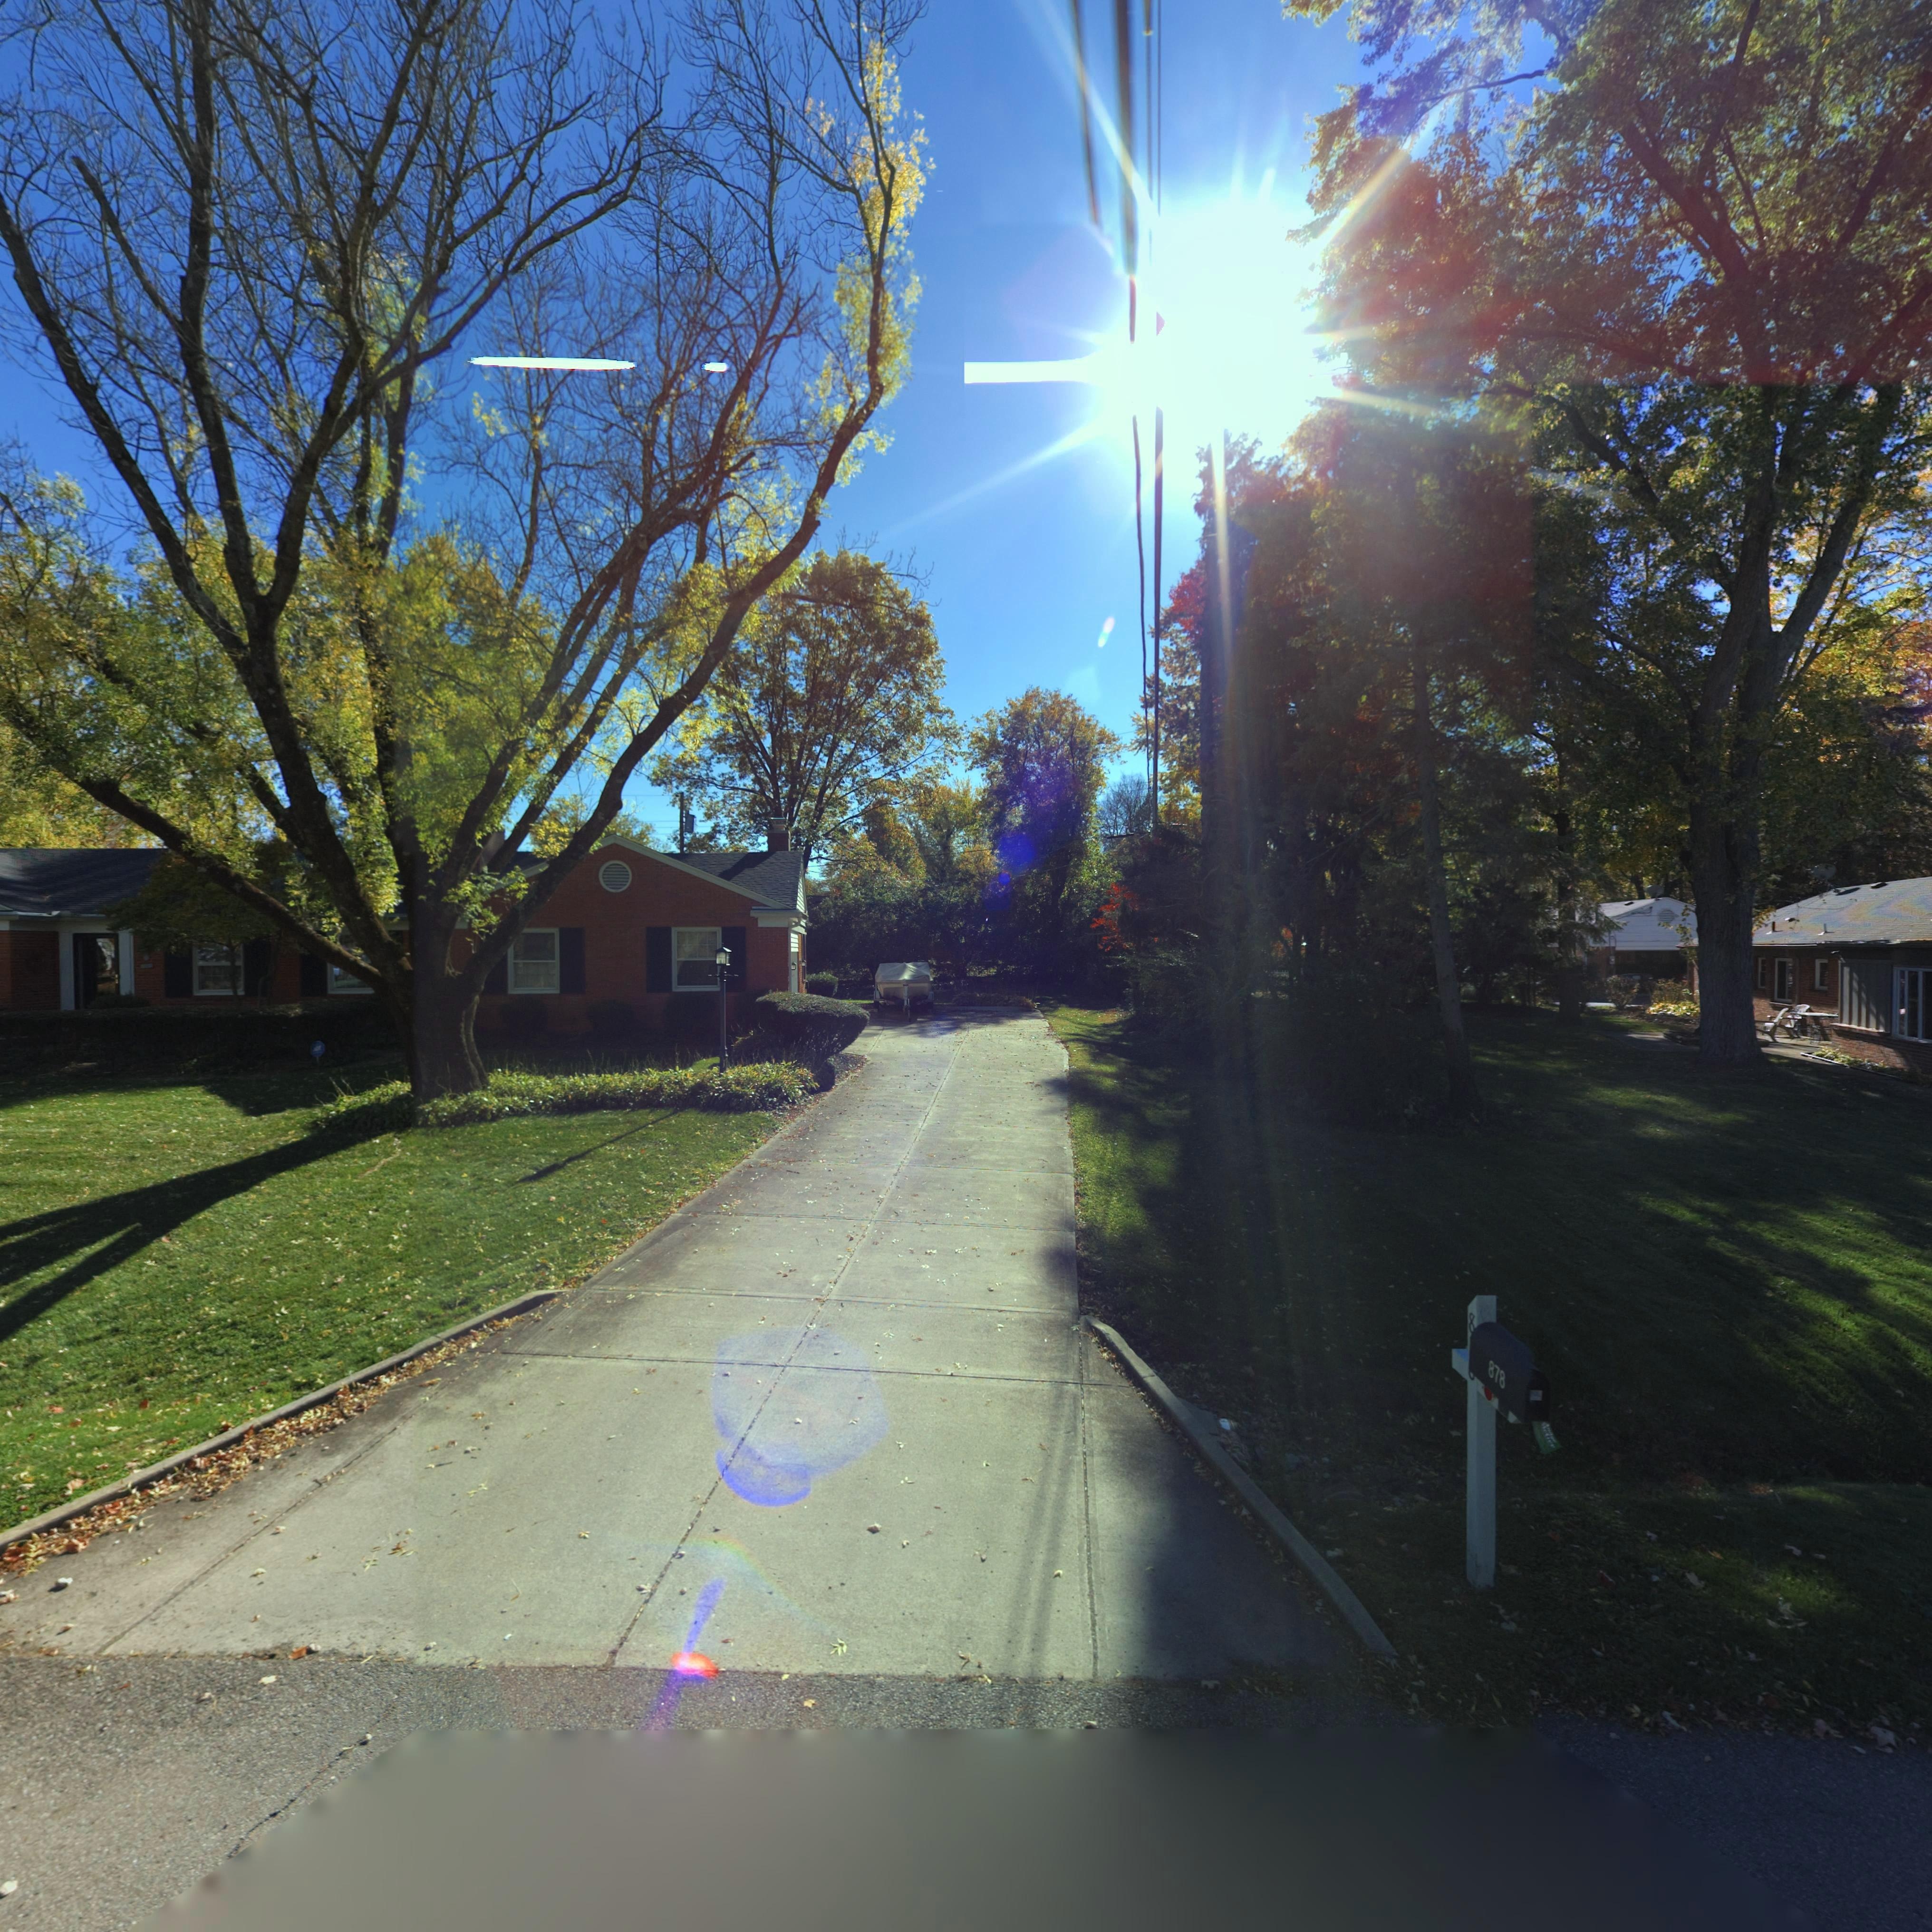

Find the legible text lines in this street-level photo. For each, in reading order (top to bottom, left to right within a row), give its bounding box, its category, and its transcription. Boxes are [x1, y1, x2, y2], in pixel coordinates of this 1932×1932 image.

[1486, 1358, 1507, 1391] StreetNumber: 878